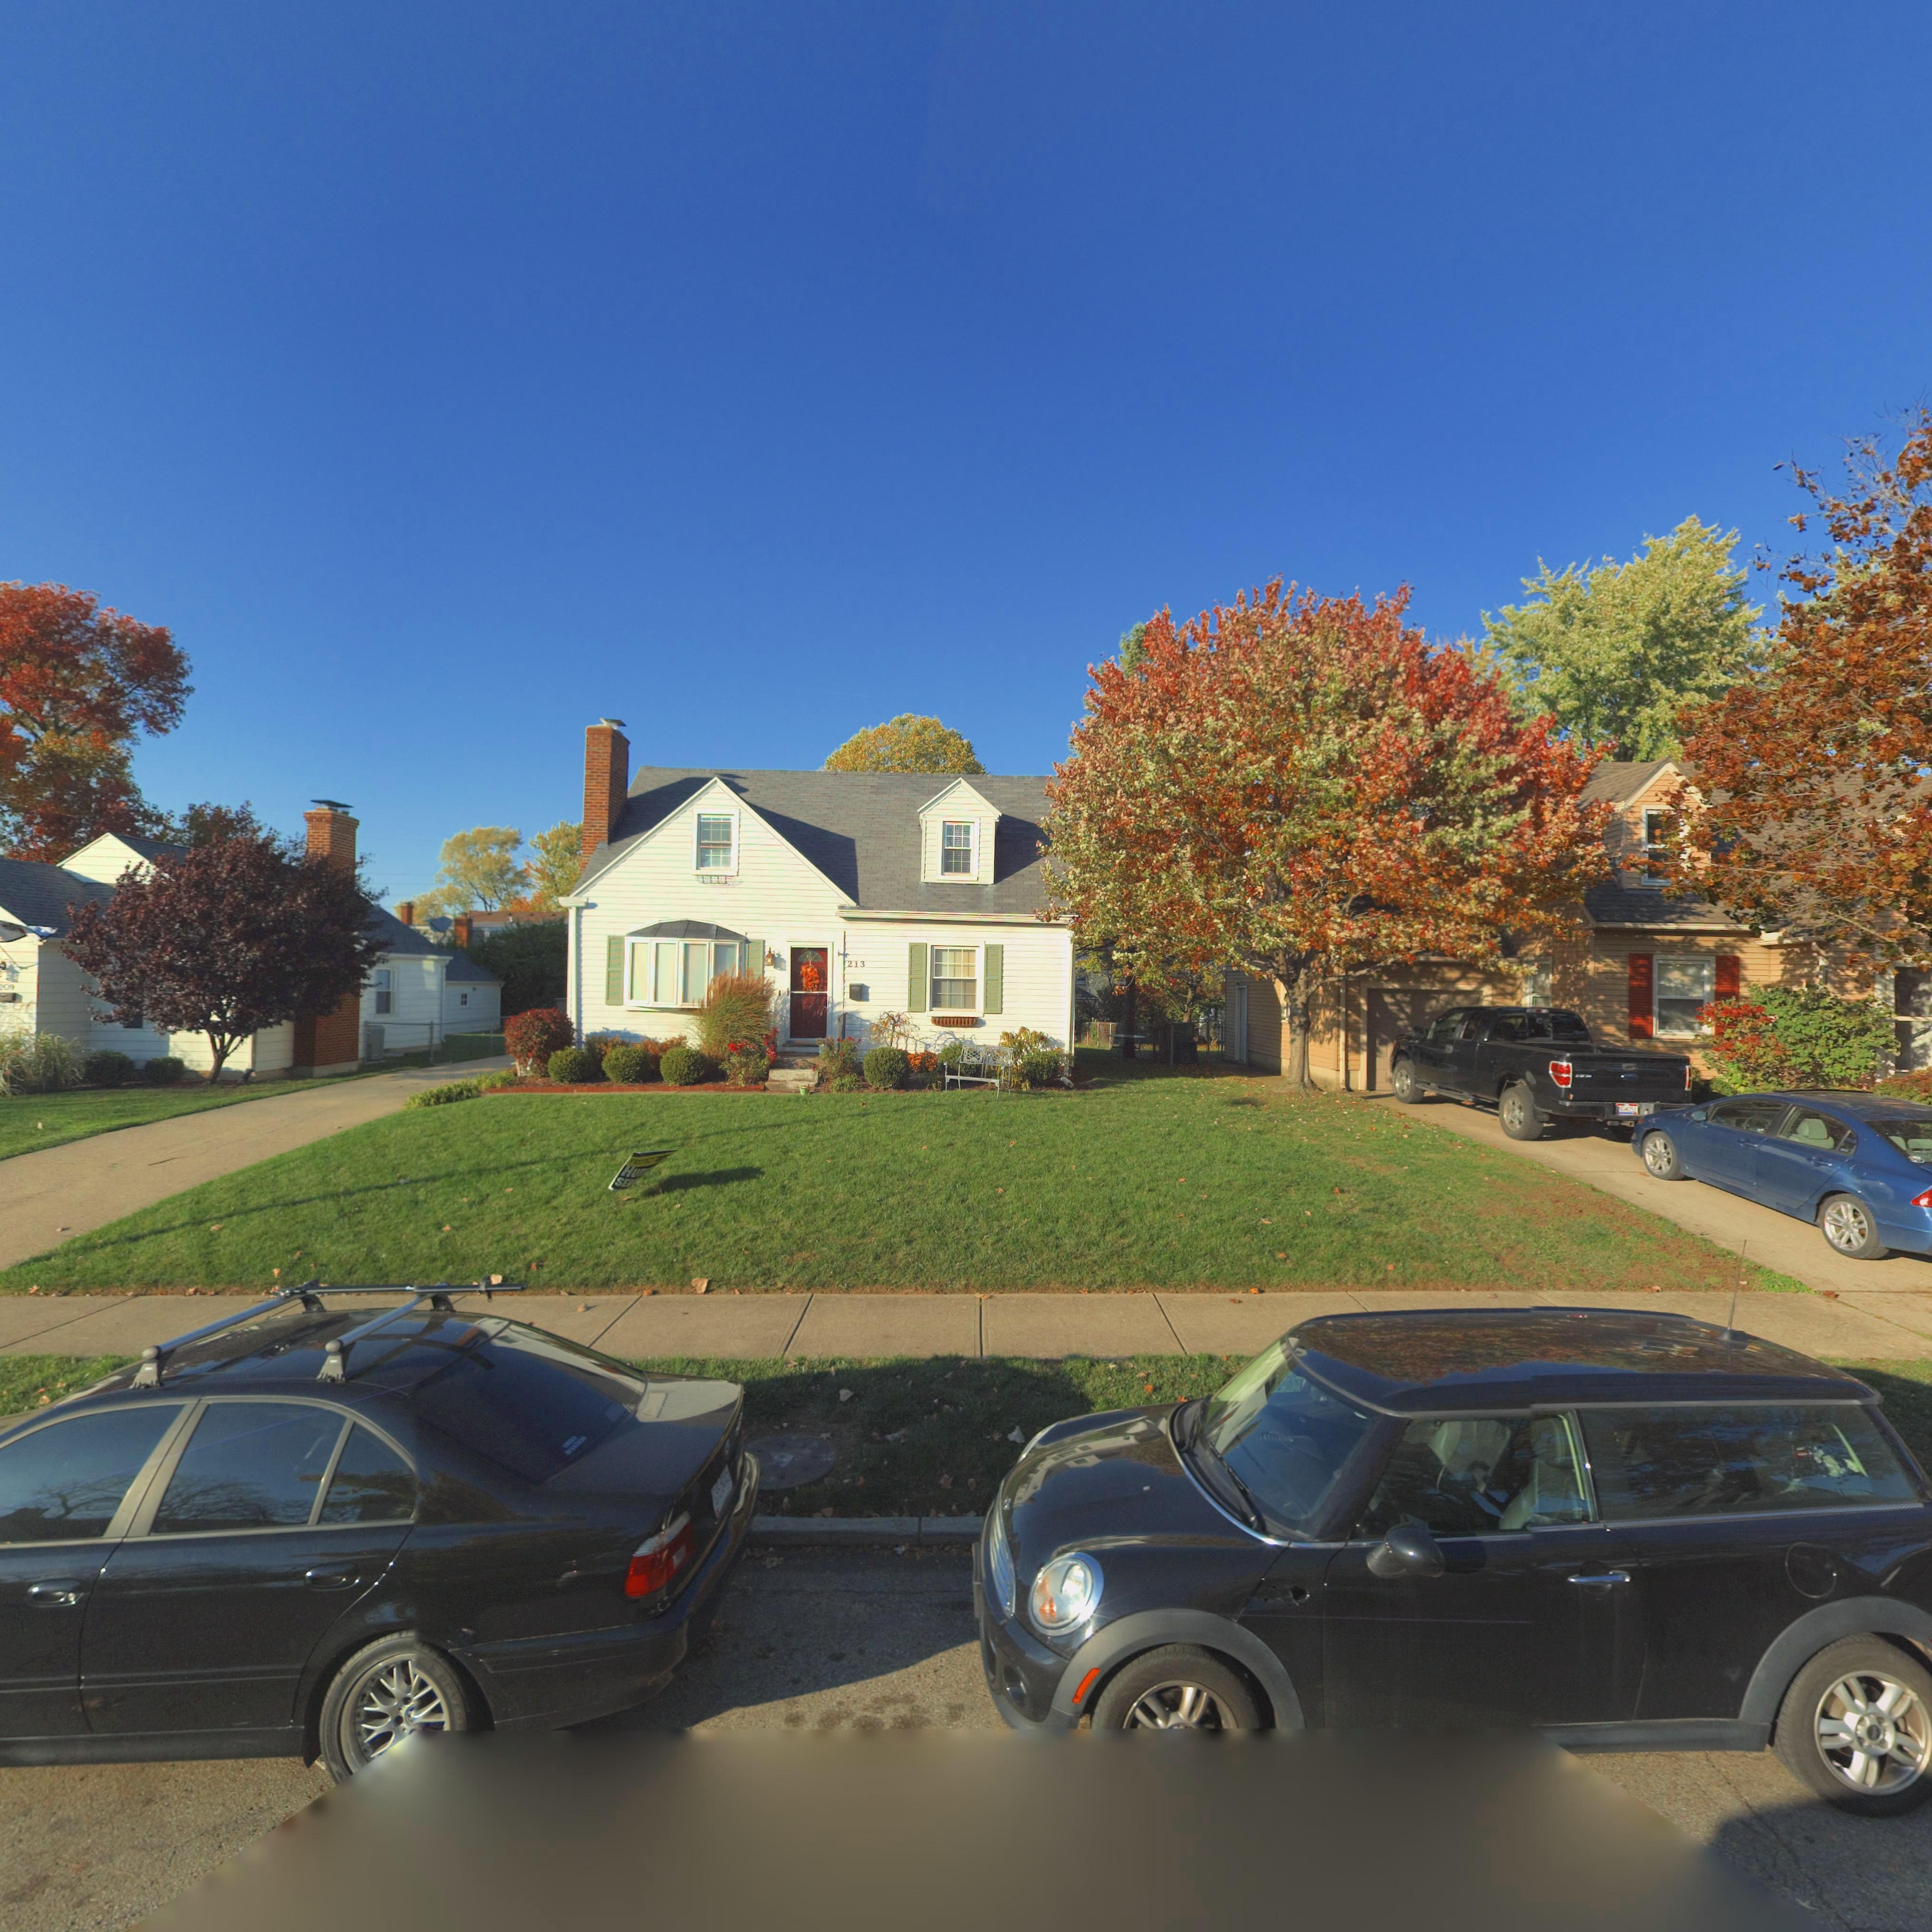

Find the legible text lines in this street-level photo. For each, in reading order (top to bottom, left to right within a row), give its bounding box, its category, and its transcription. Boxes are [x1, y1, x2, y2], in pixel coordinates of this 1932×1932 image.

[846, 958, 867, 969] StreetNumber: 213
[3, 982, 16, 991] StreetNumber: 09